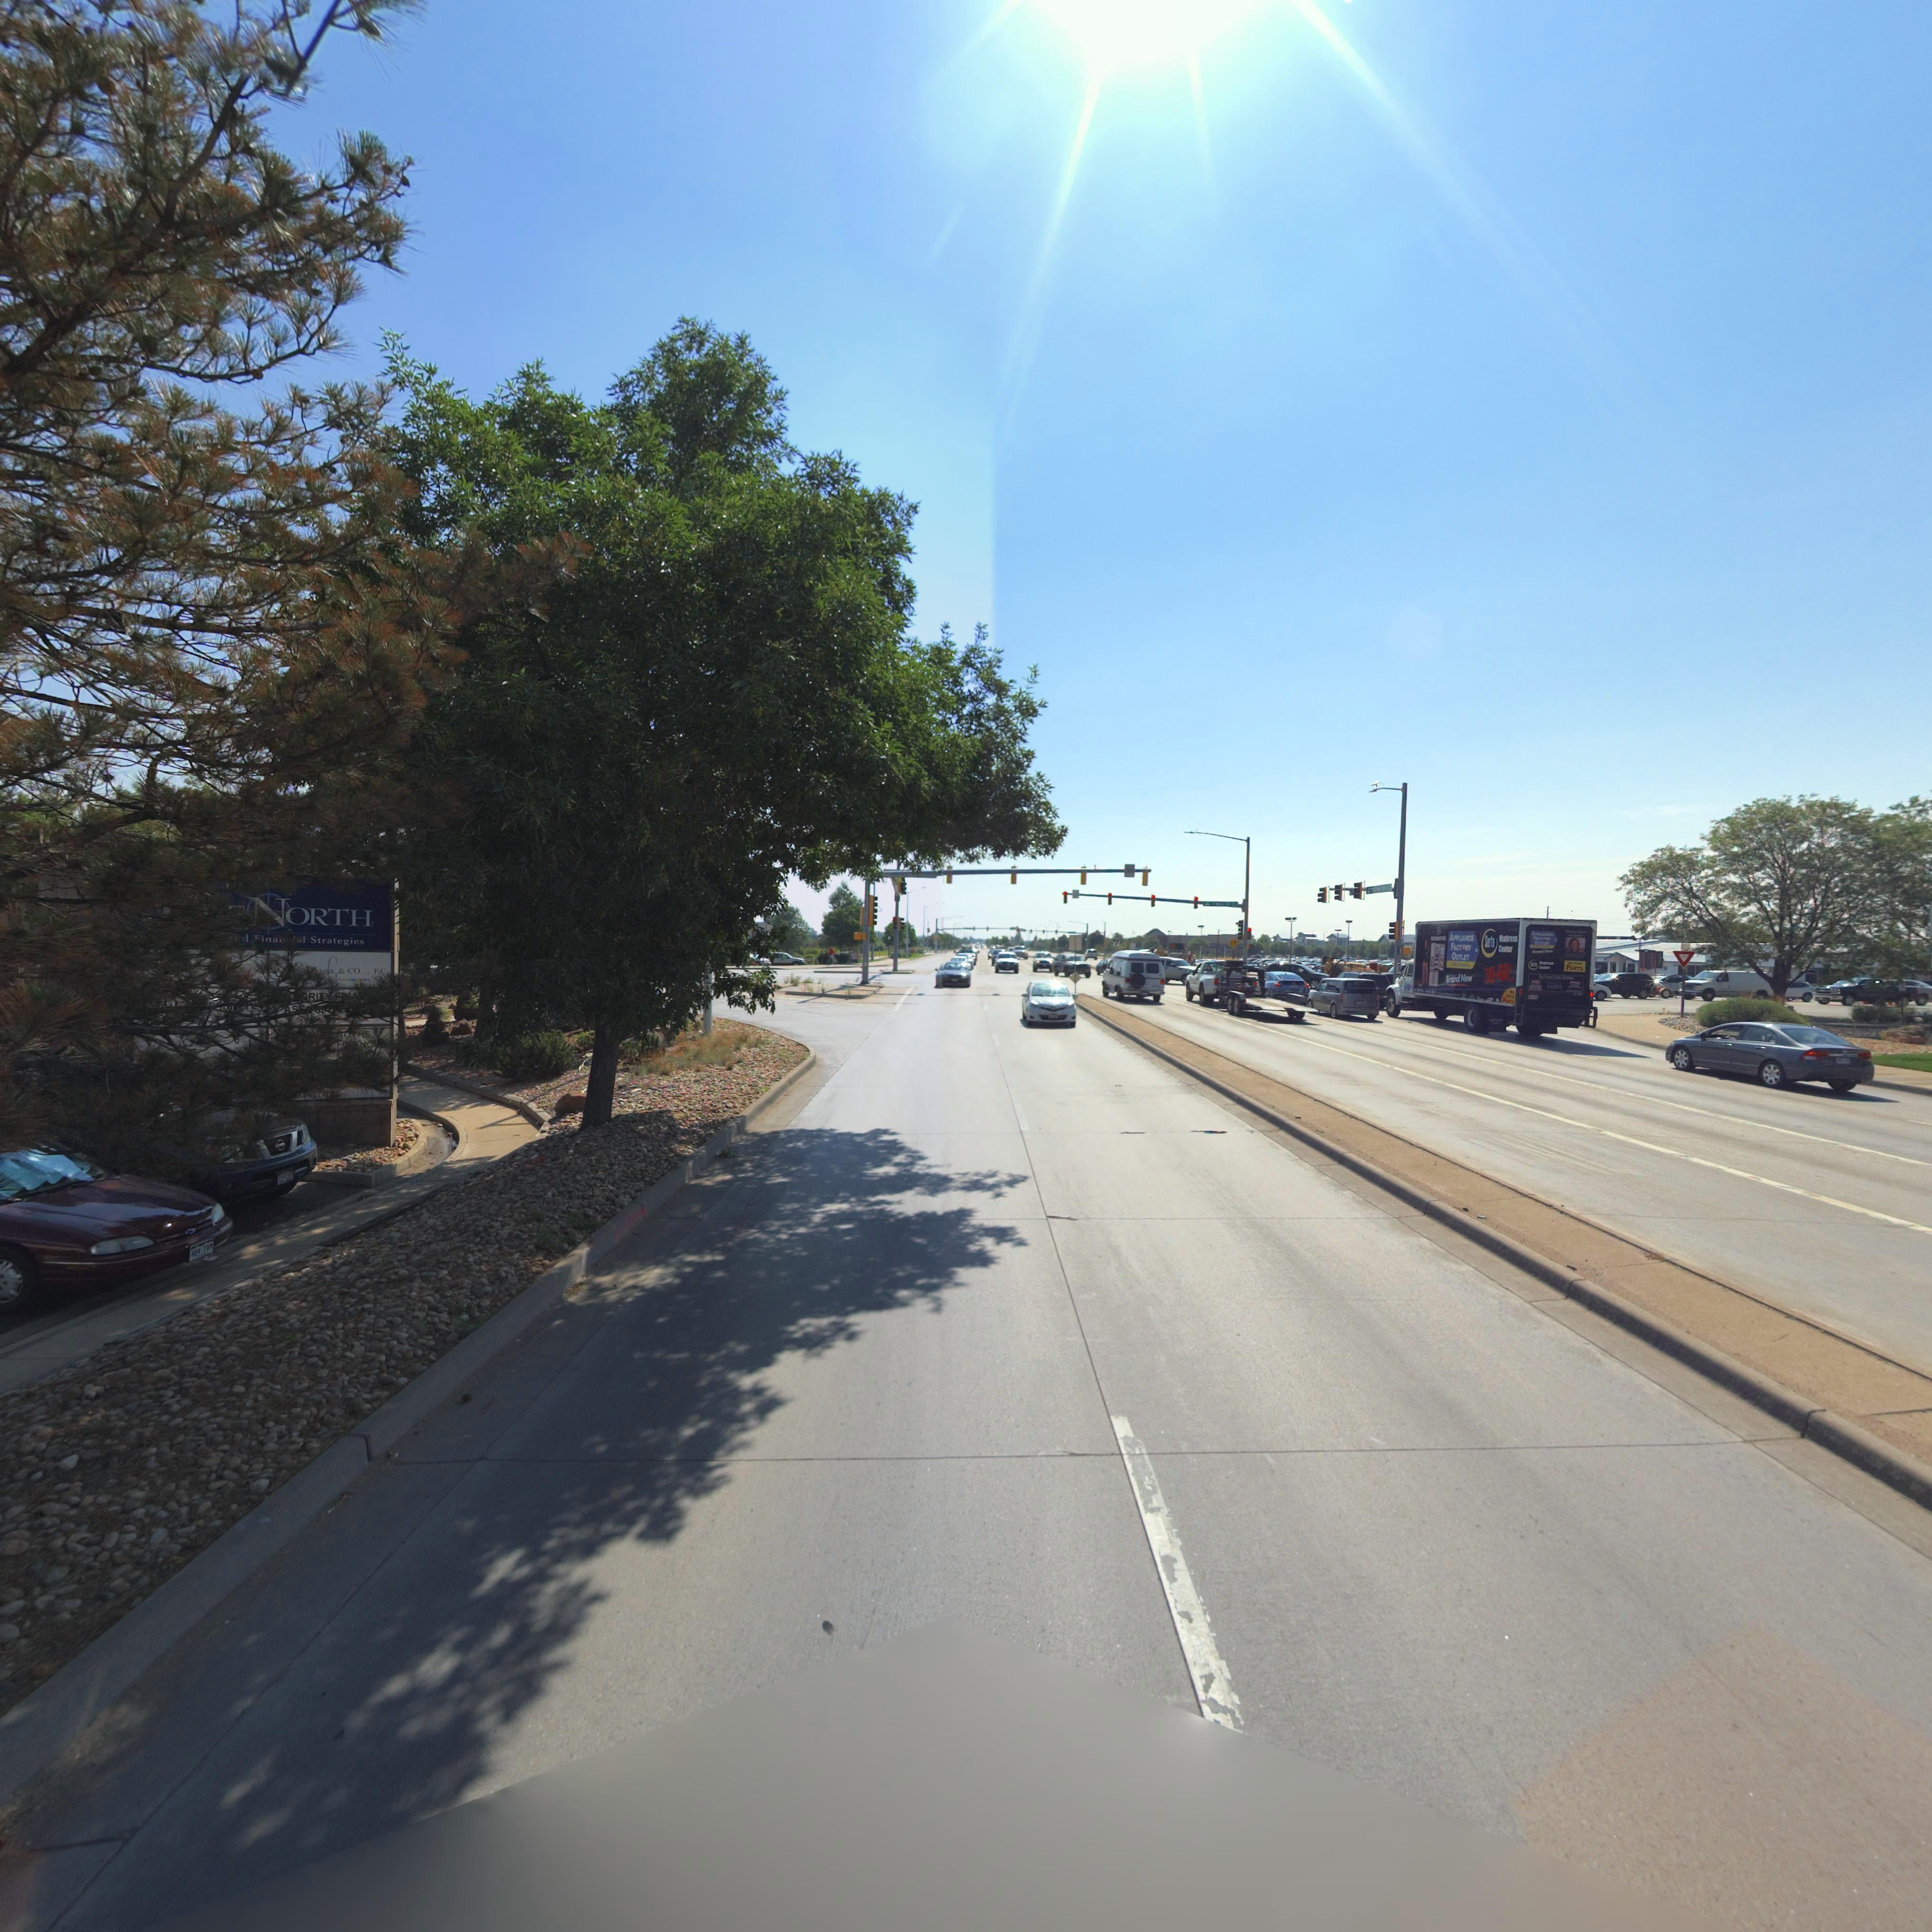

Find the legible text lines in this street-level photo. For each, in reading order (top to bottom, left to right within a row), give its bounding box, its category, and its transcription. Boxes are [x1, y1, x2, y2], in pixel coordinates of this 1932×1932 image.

[208, 896, 374, 928] BusinessName: **** NORTH
[299, 967, 388, 975] BusinessName: ******R & CO.. PC.